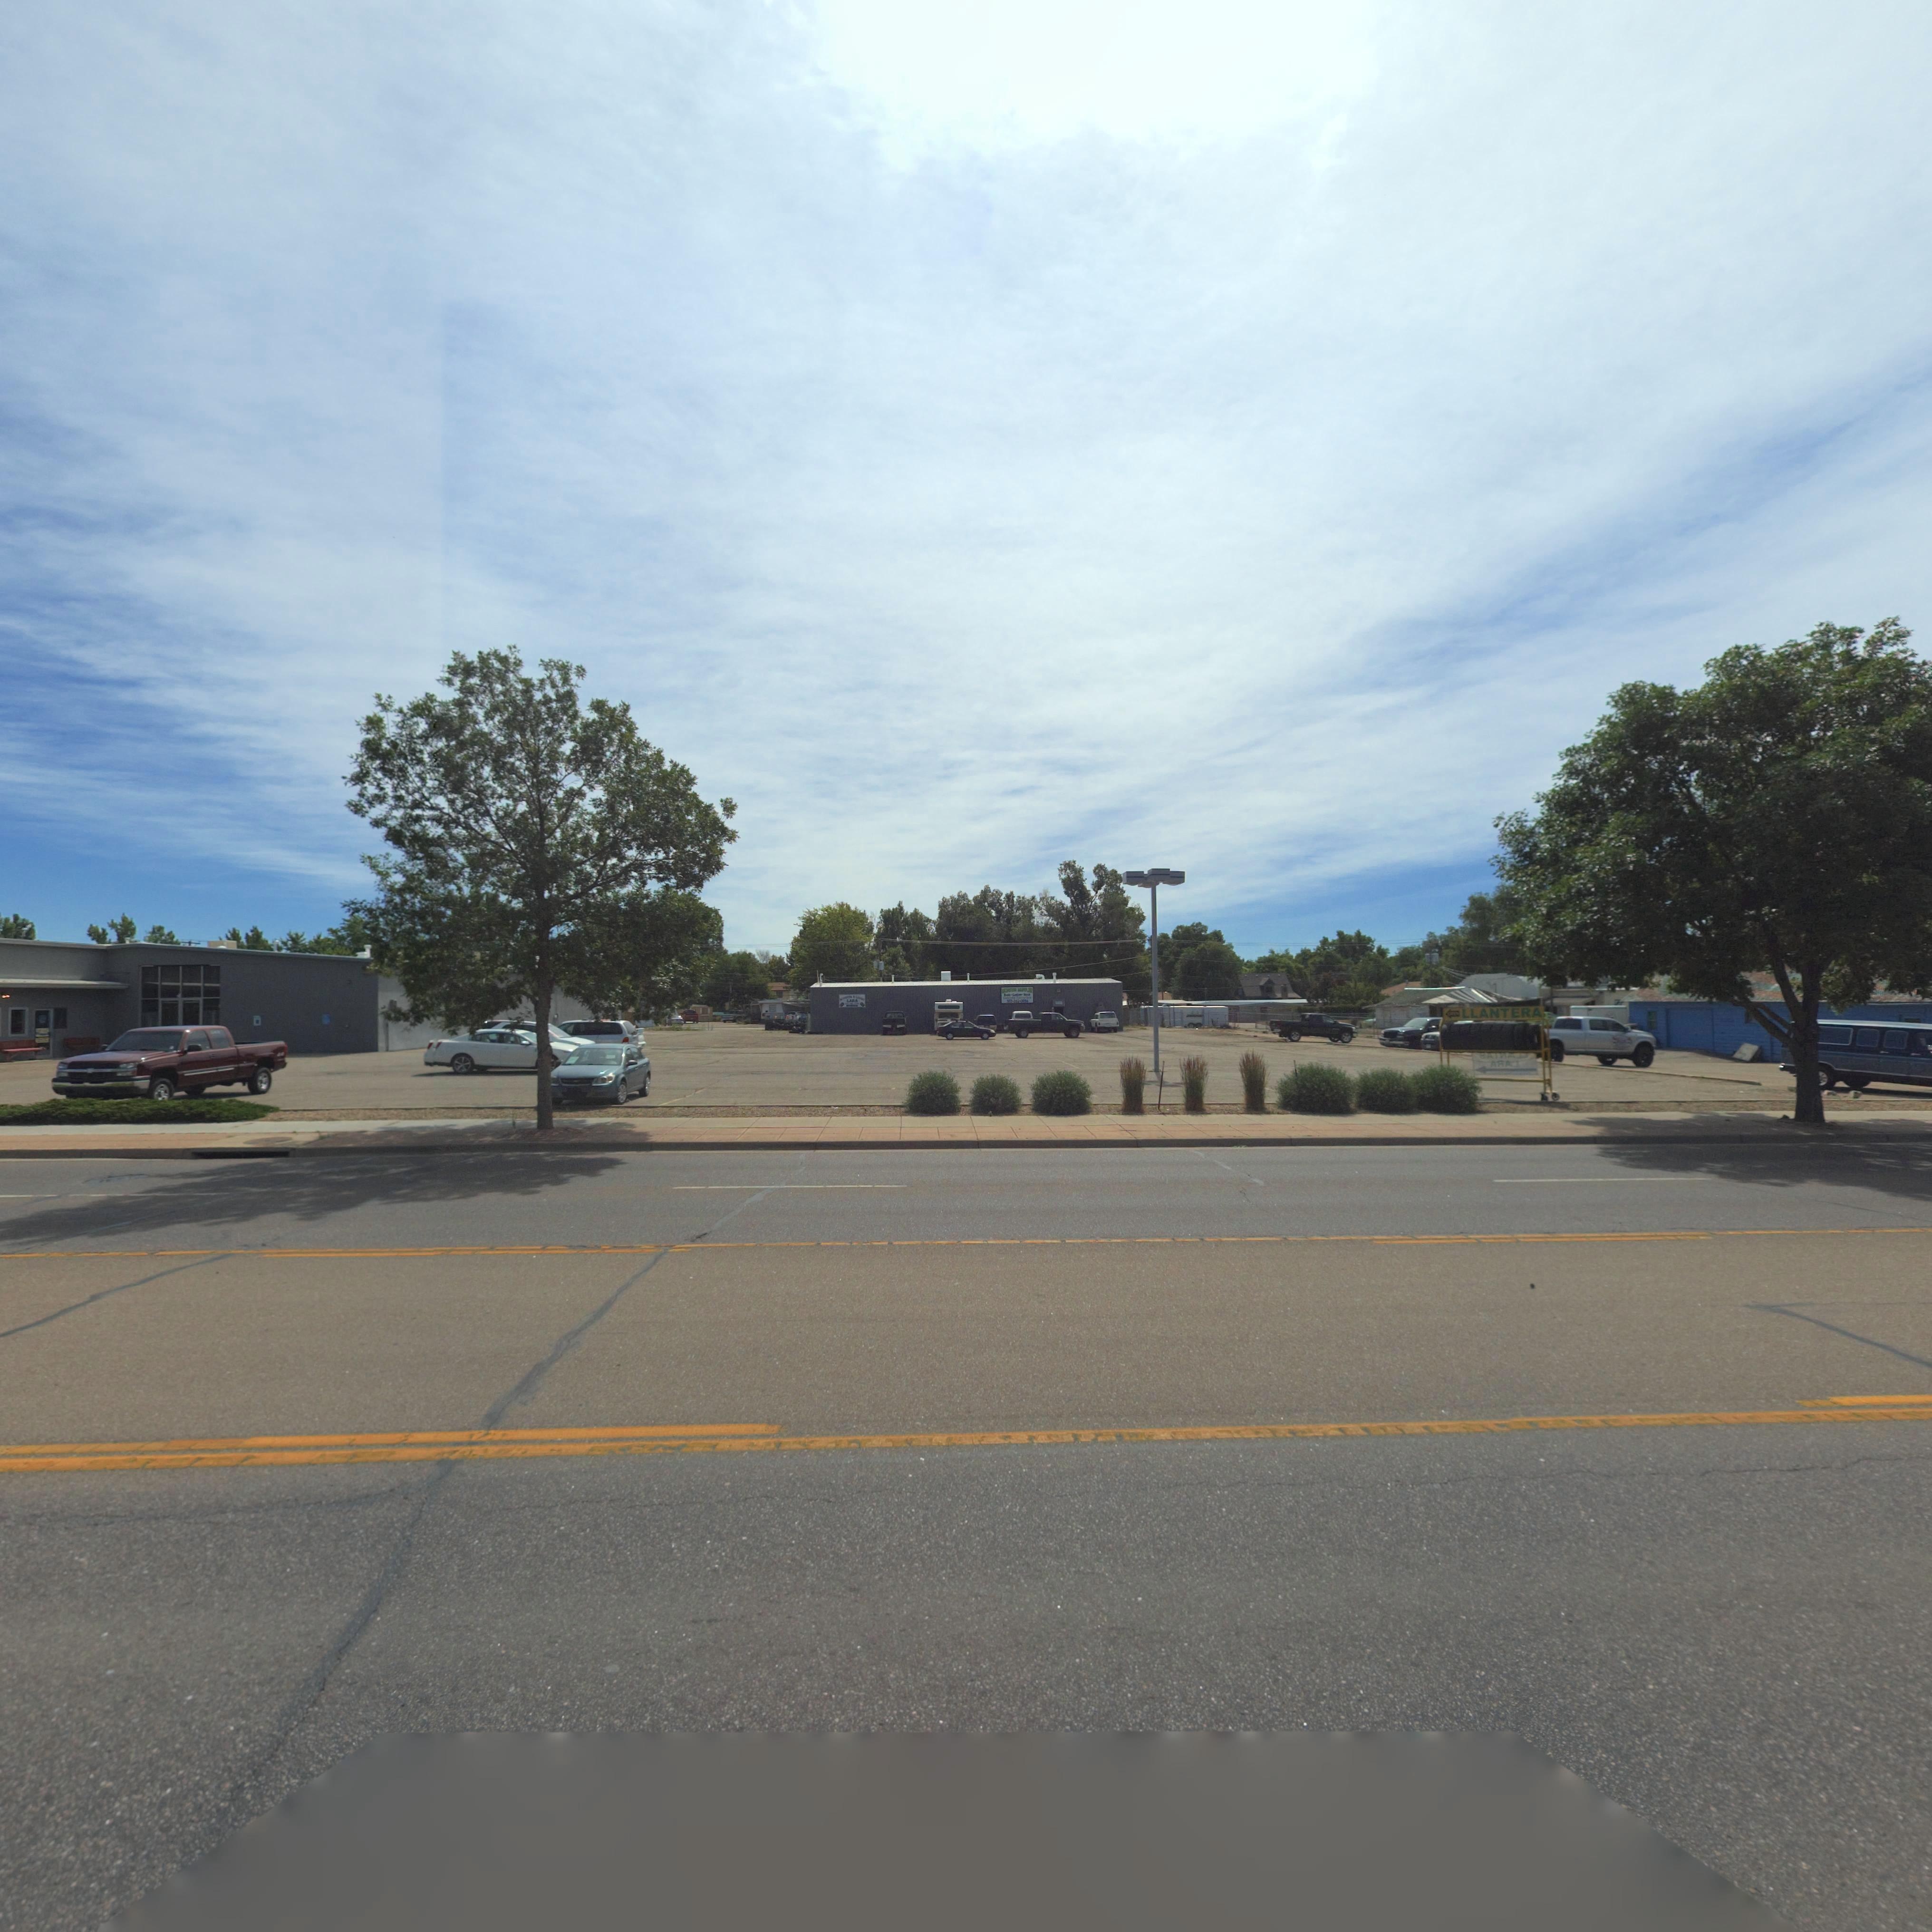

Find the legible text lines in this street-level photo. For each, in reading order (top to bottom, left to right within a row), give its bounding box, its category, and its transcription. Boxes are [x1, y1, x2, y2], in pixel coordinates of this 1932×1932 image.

[1002, 987, 1033, 994] None: MO***** MUFFLER